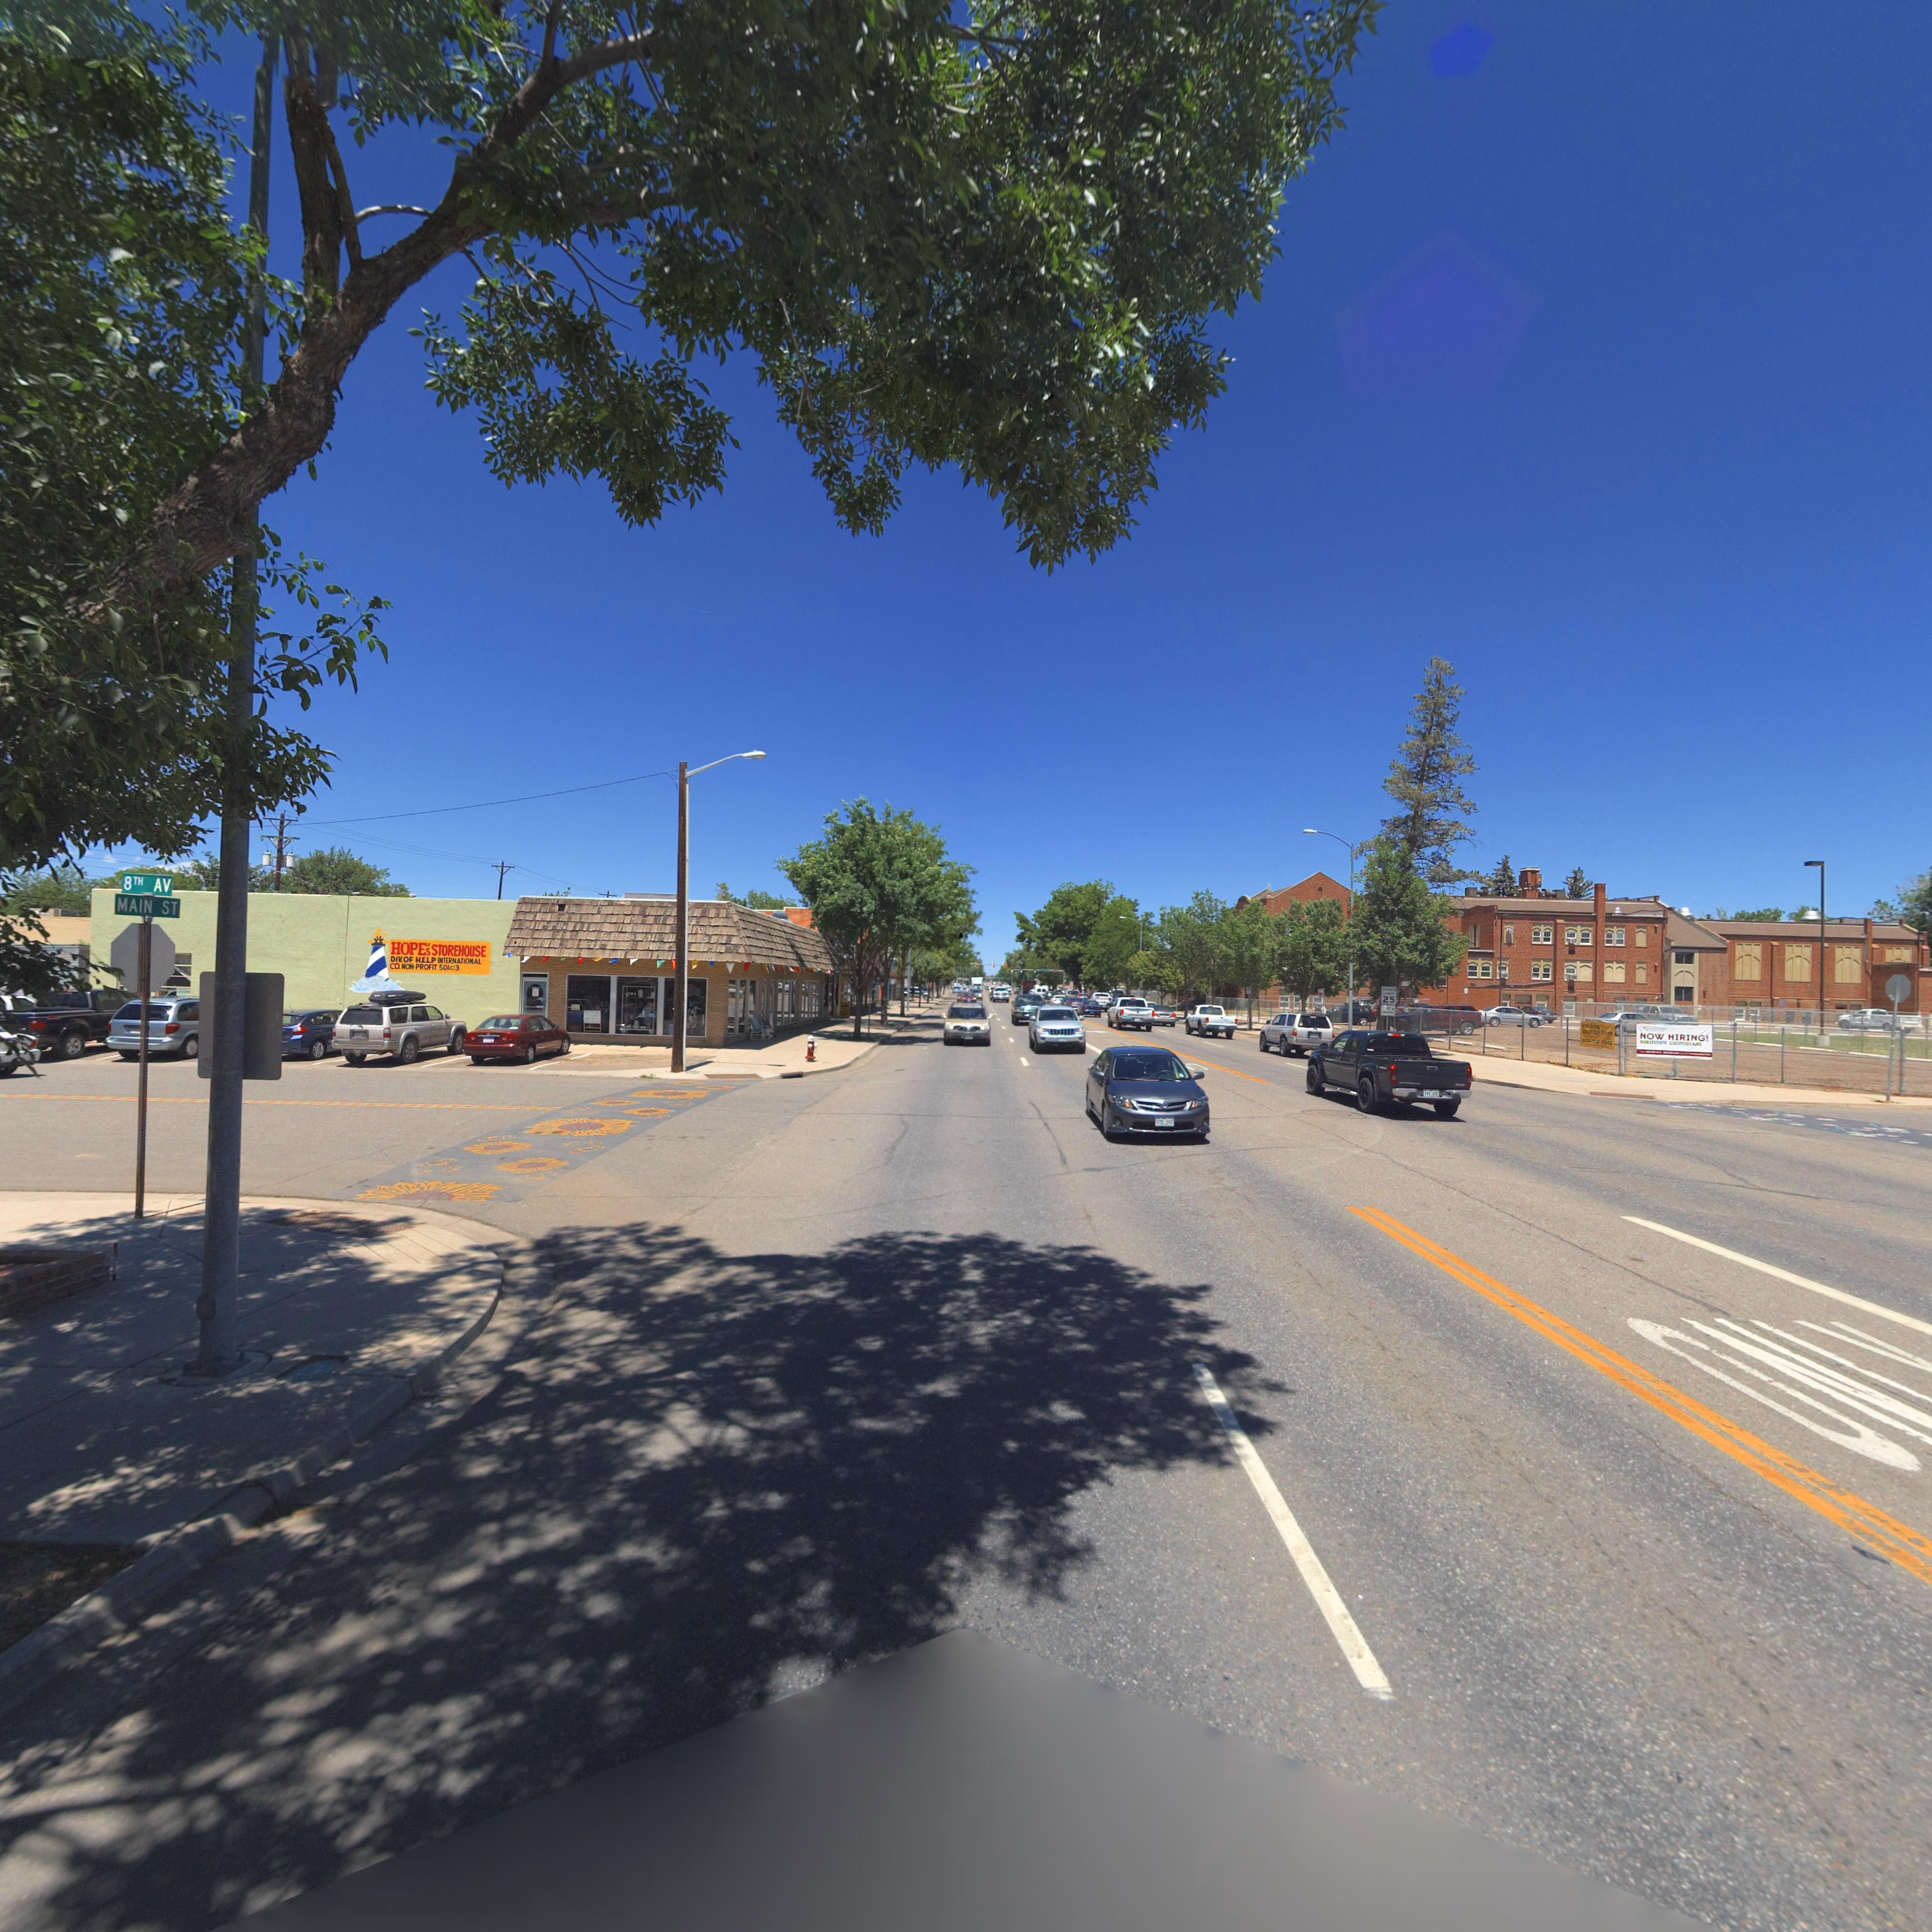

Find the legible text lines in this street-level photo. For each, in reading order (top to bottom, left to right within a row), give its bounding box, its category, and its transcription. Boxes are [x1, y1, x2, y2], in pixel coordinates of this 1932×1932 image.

[123, 876, 172, 892] StreetName: 8TH AV
[117, 897, 178, 915] StreetName: MAIN ST
[390, 941, 486, 957] BusinessName: HOPE'S STOREHOUSE